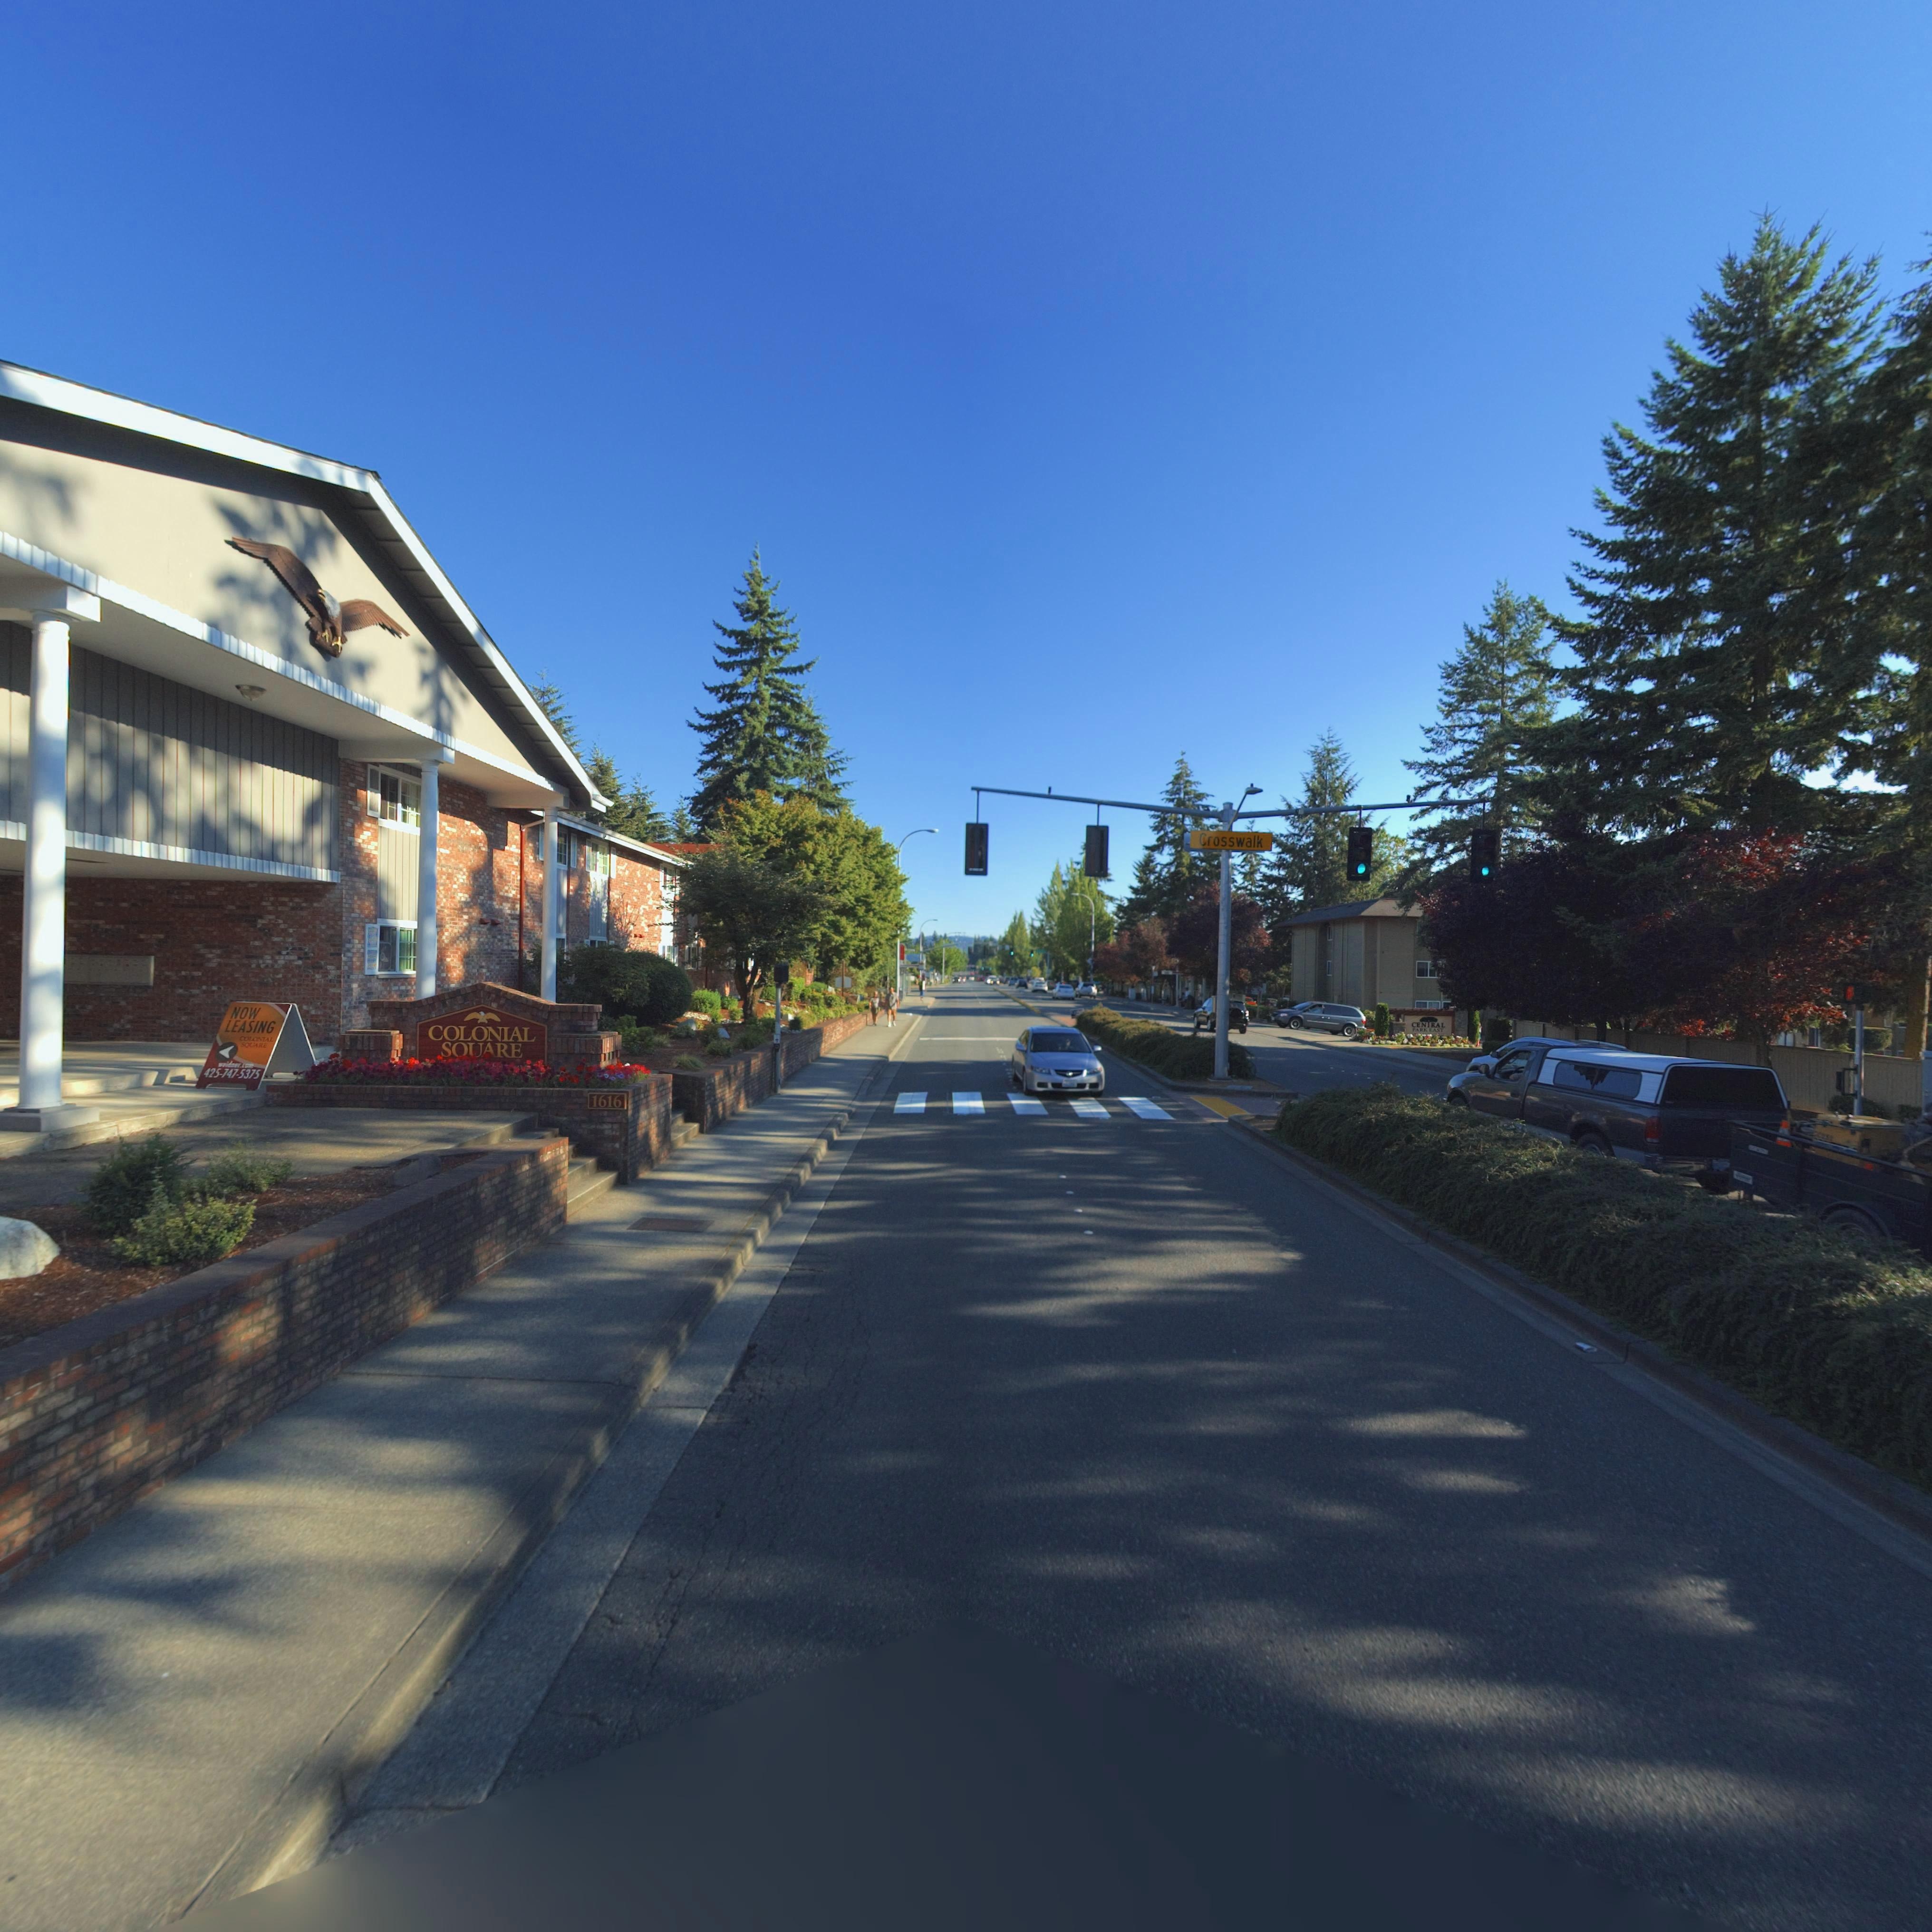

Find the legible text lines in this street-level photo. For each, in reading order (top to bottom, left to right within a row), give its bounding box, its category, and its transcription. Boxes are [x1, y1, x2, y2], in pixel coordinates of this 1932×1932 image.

[590, 1093, 623, 1108] StreetNumber: 1616